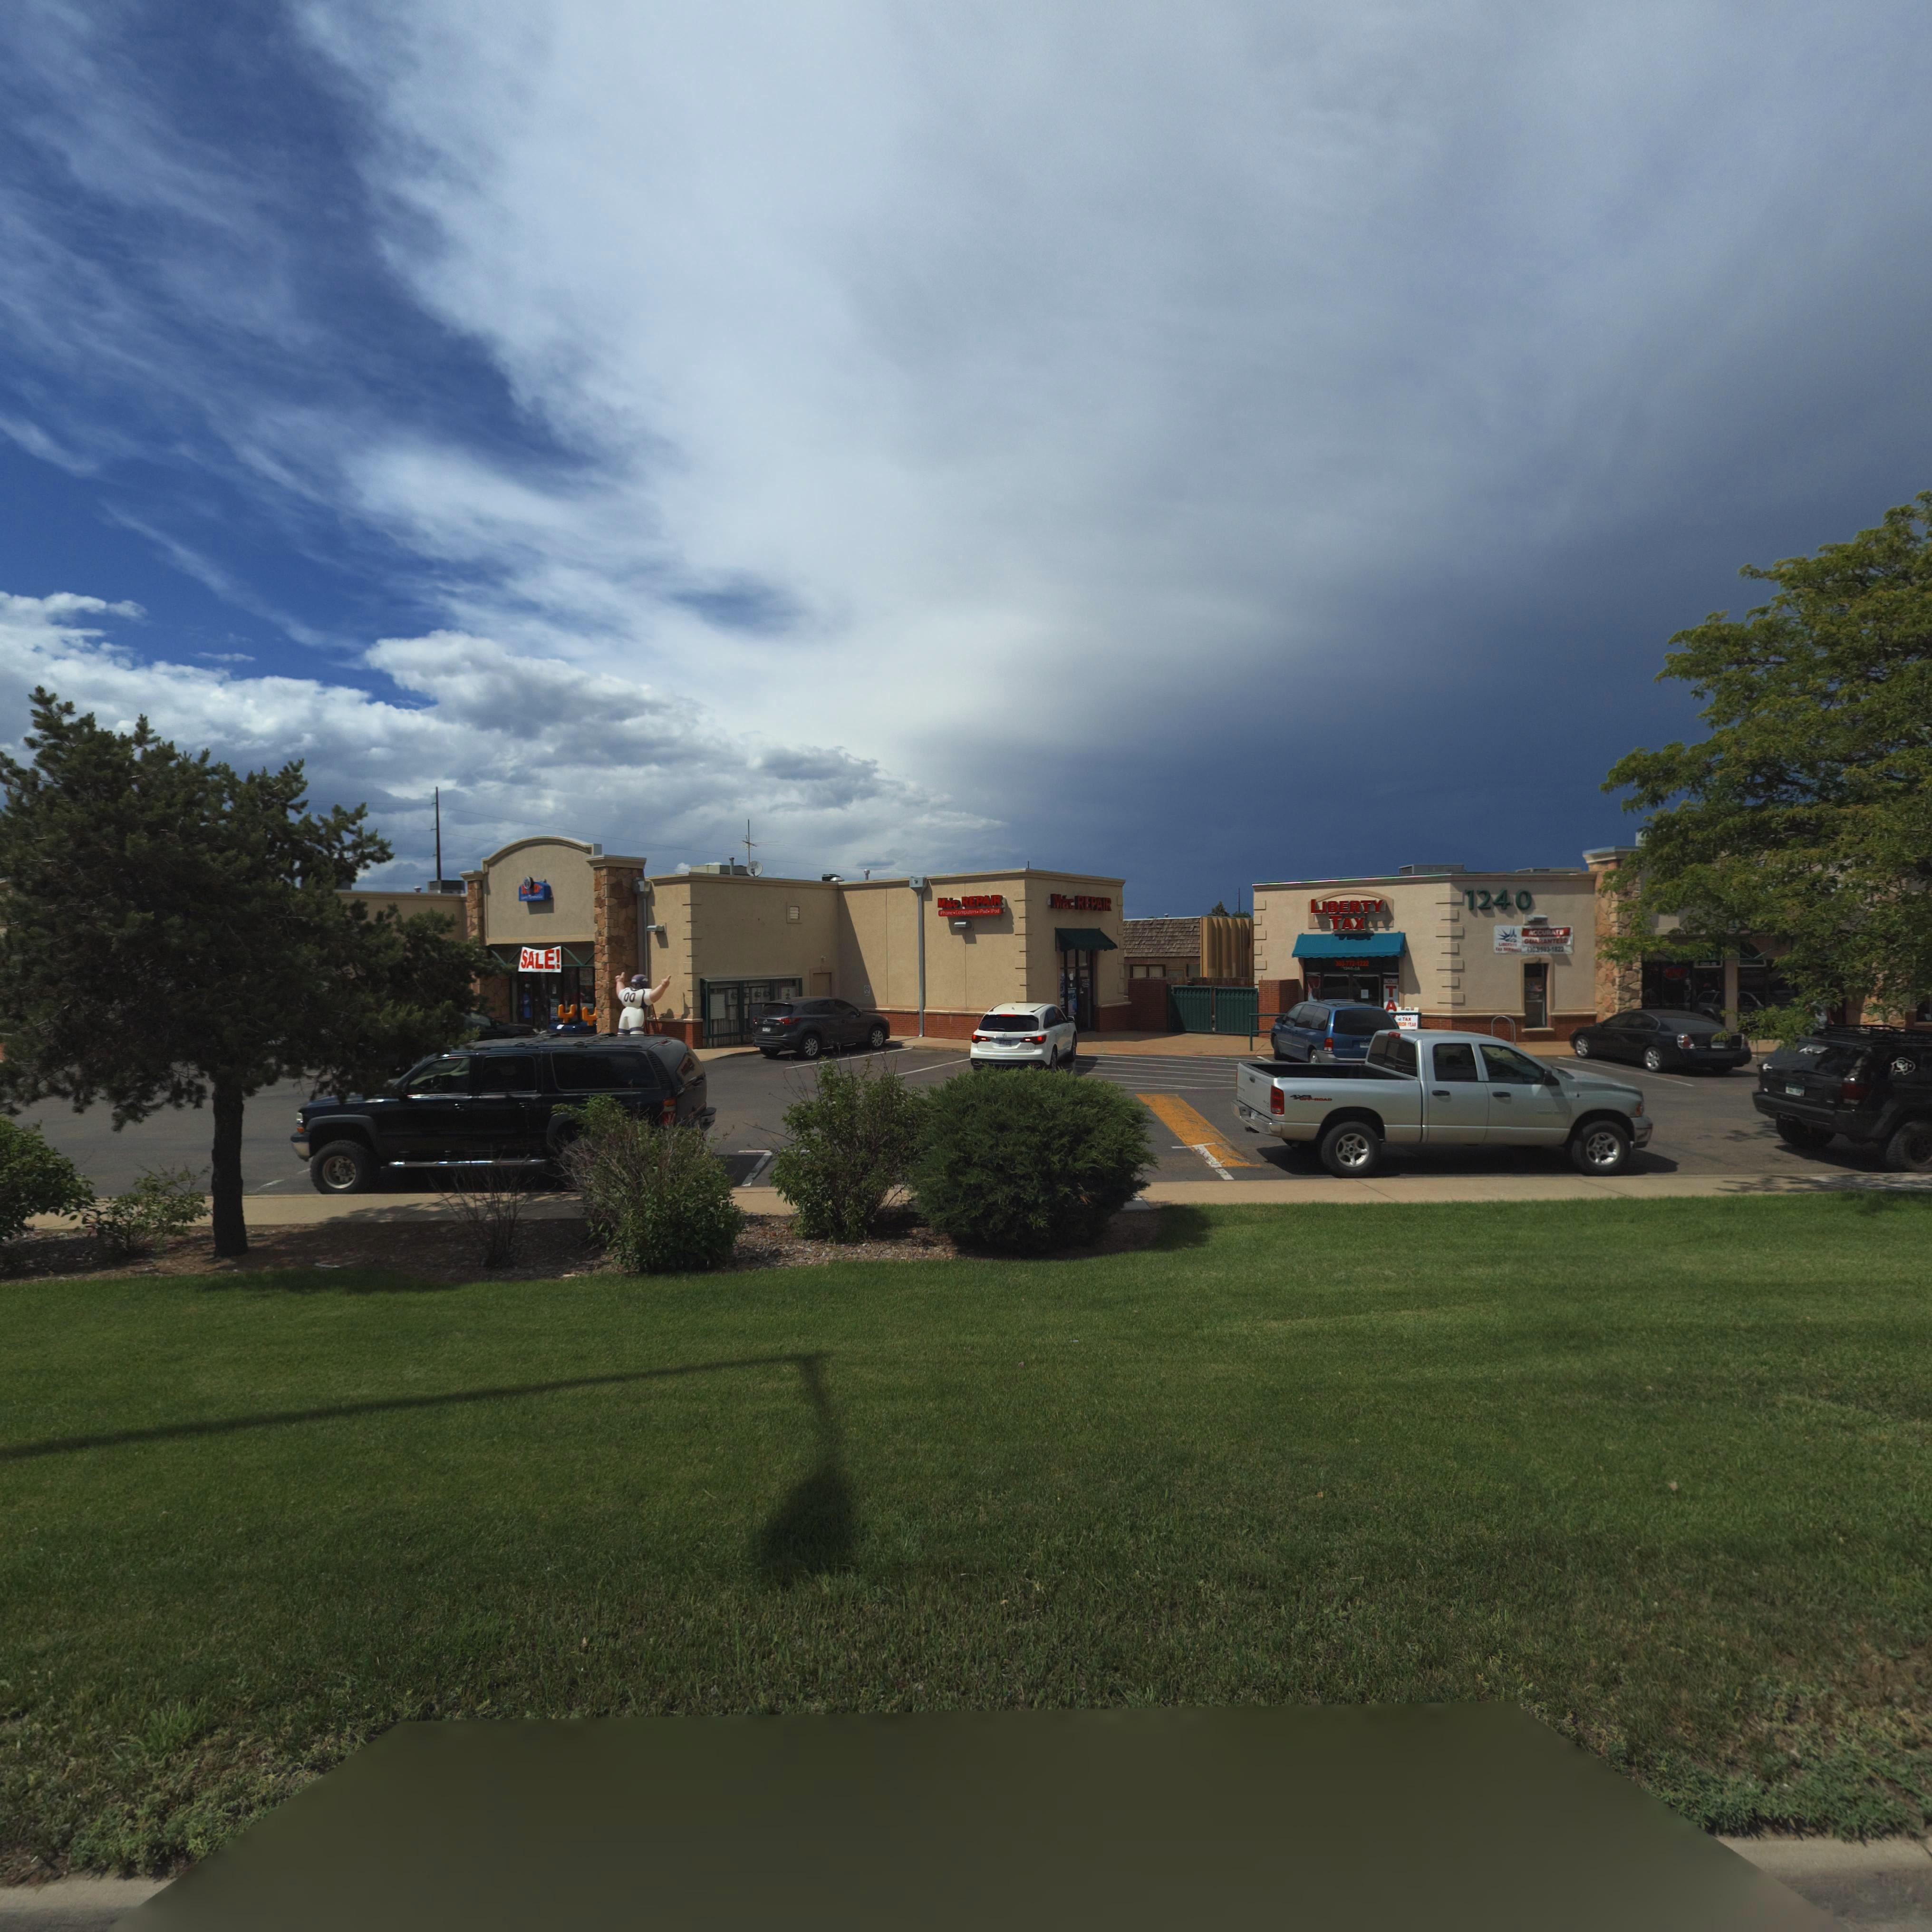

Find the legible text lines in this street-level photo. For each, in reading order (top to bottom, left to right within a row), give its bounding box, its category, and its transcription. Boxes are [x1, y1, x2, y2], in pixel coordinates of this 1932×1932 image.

[521, 883, 541, 894] BusinessName: **D
[937, 894, 1004, 908] BusinessName: Mac REPAIR
[1050, 893, 1112, 911] BusinessName: Max REPAIR
[1310, 898, 1383, 914] BusinessName: LIBERTY
[1464, 889, 1532, 910] StreetNumber: 1240
[1328, 915, 1366, 930] BusinessName: TAX
[1343, 966, 1353, 970] StreetNumber: 1240
[1355, 966, 1360, 970] SecondaryUnitDesignator: 1A
[1699, 961, 1710, 966] StreetNumber: 1240